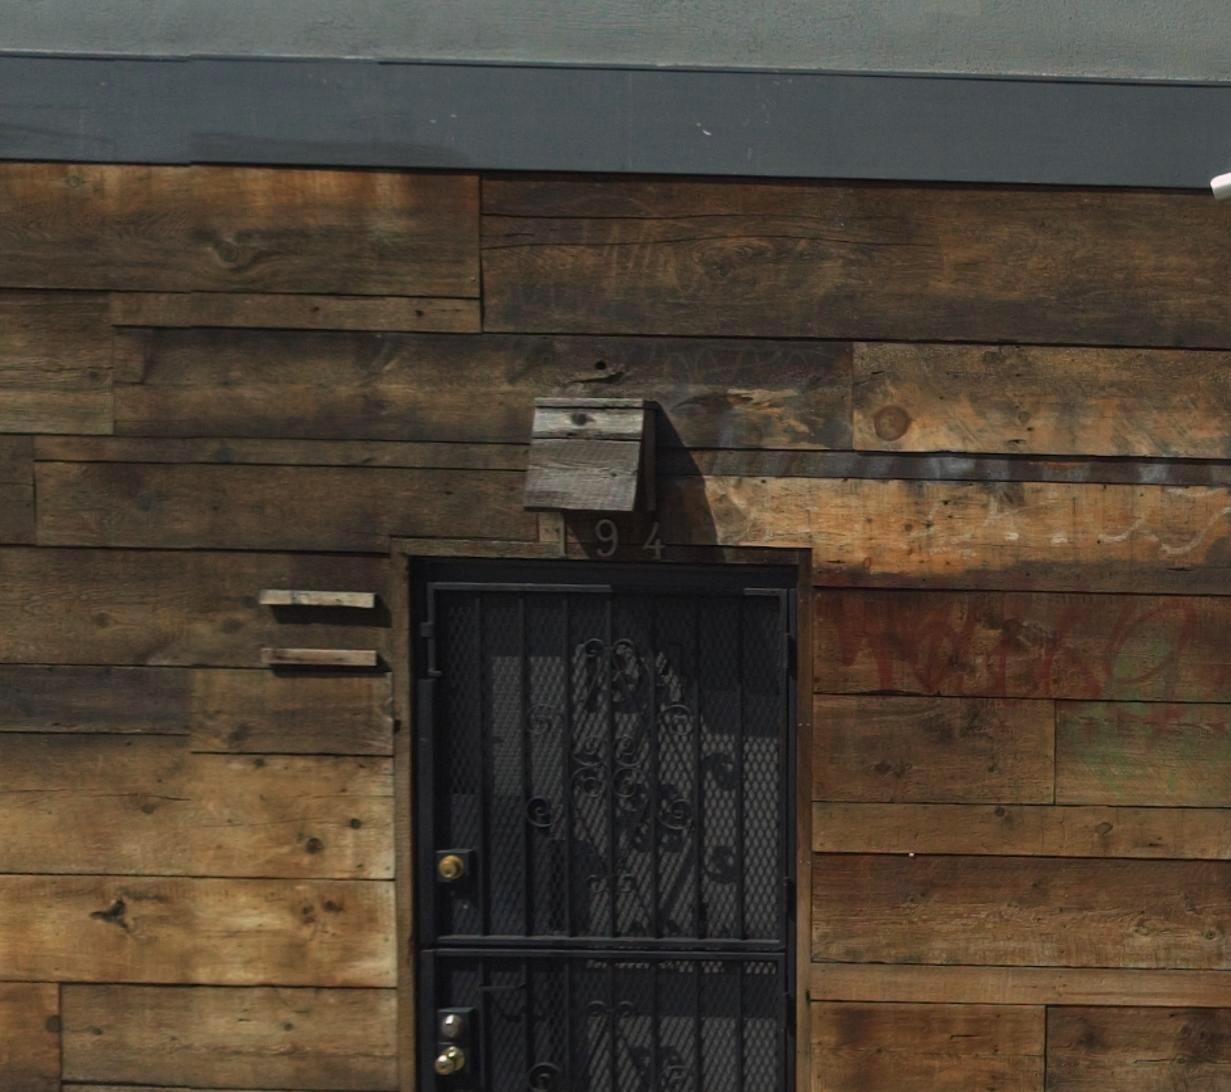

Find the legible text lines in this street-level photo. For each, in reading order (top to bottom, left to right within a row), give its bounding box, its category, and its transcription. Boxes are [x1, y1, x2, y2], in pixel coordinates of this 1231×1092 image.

[554, 516, 663, 559] StreetNumber: 94